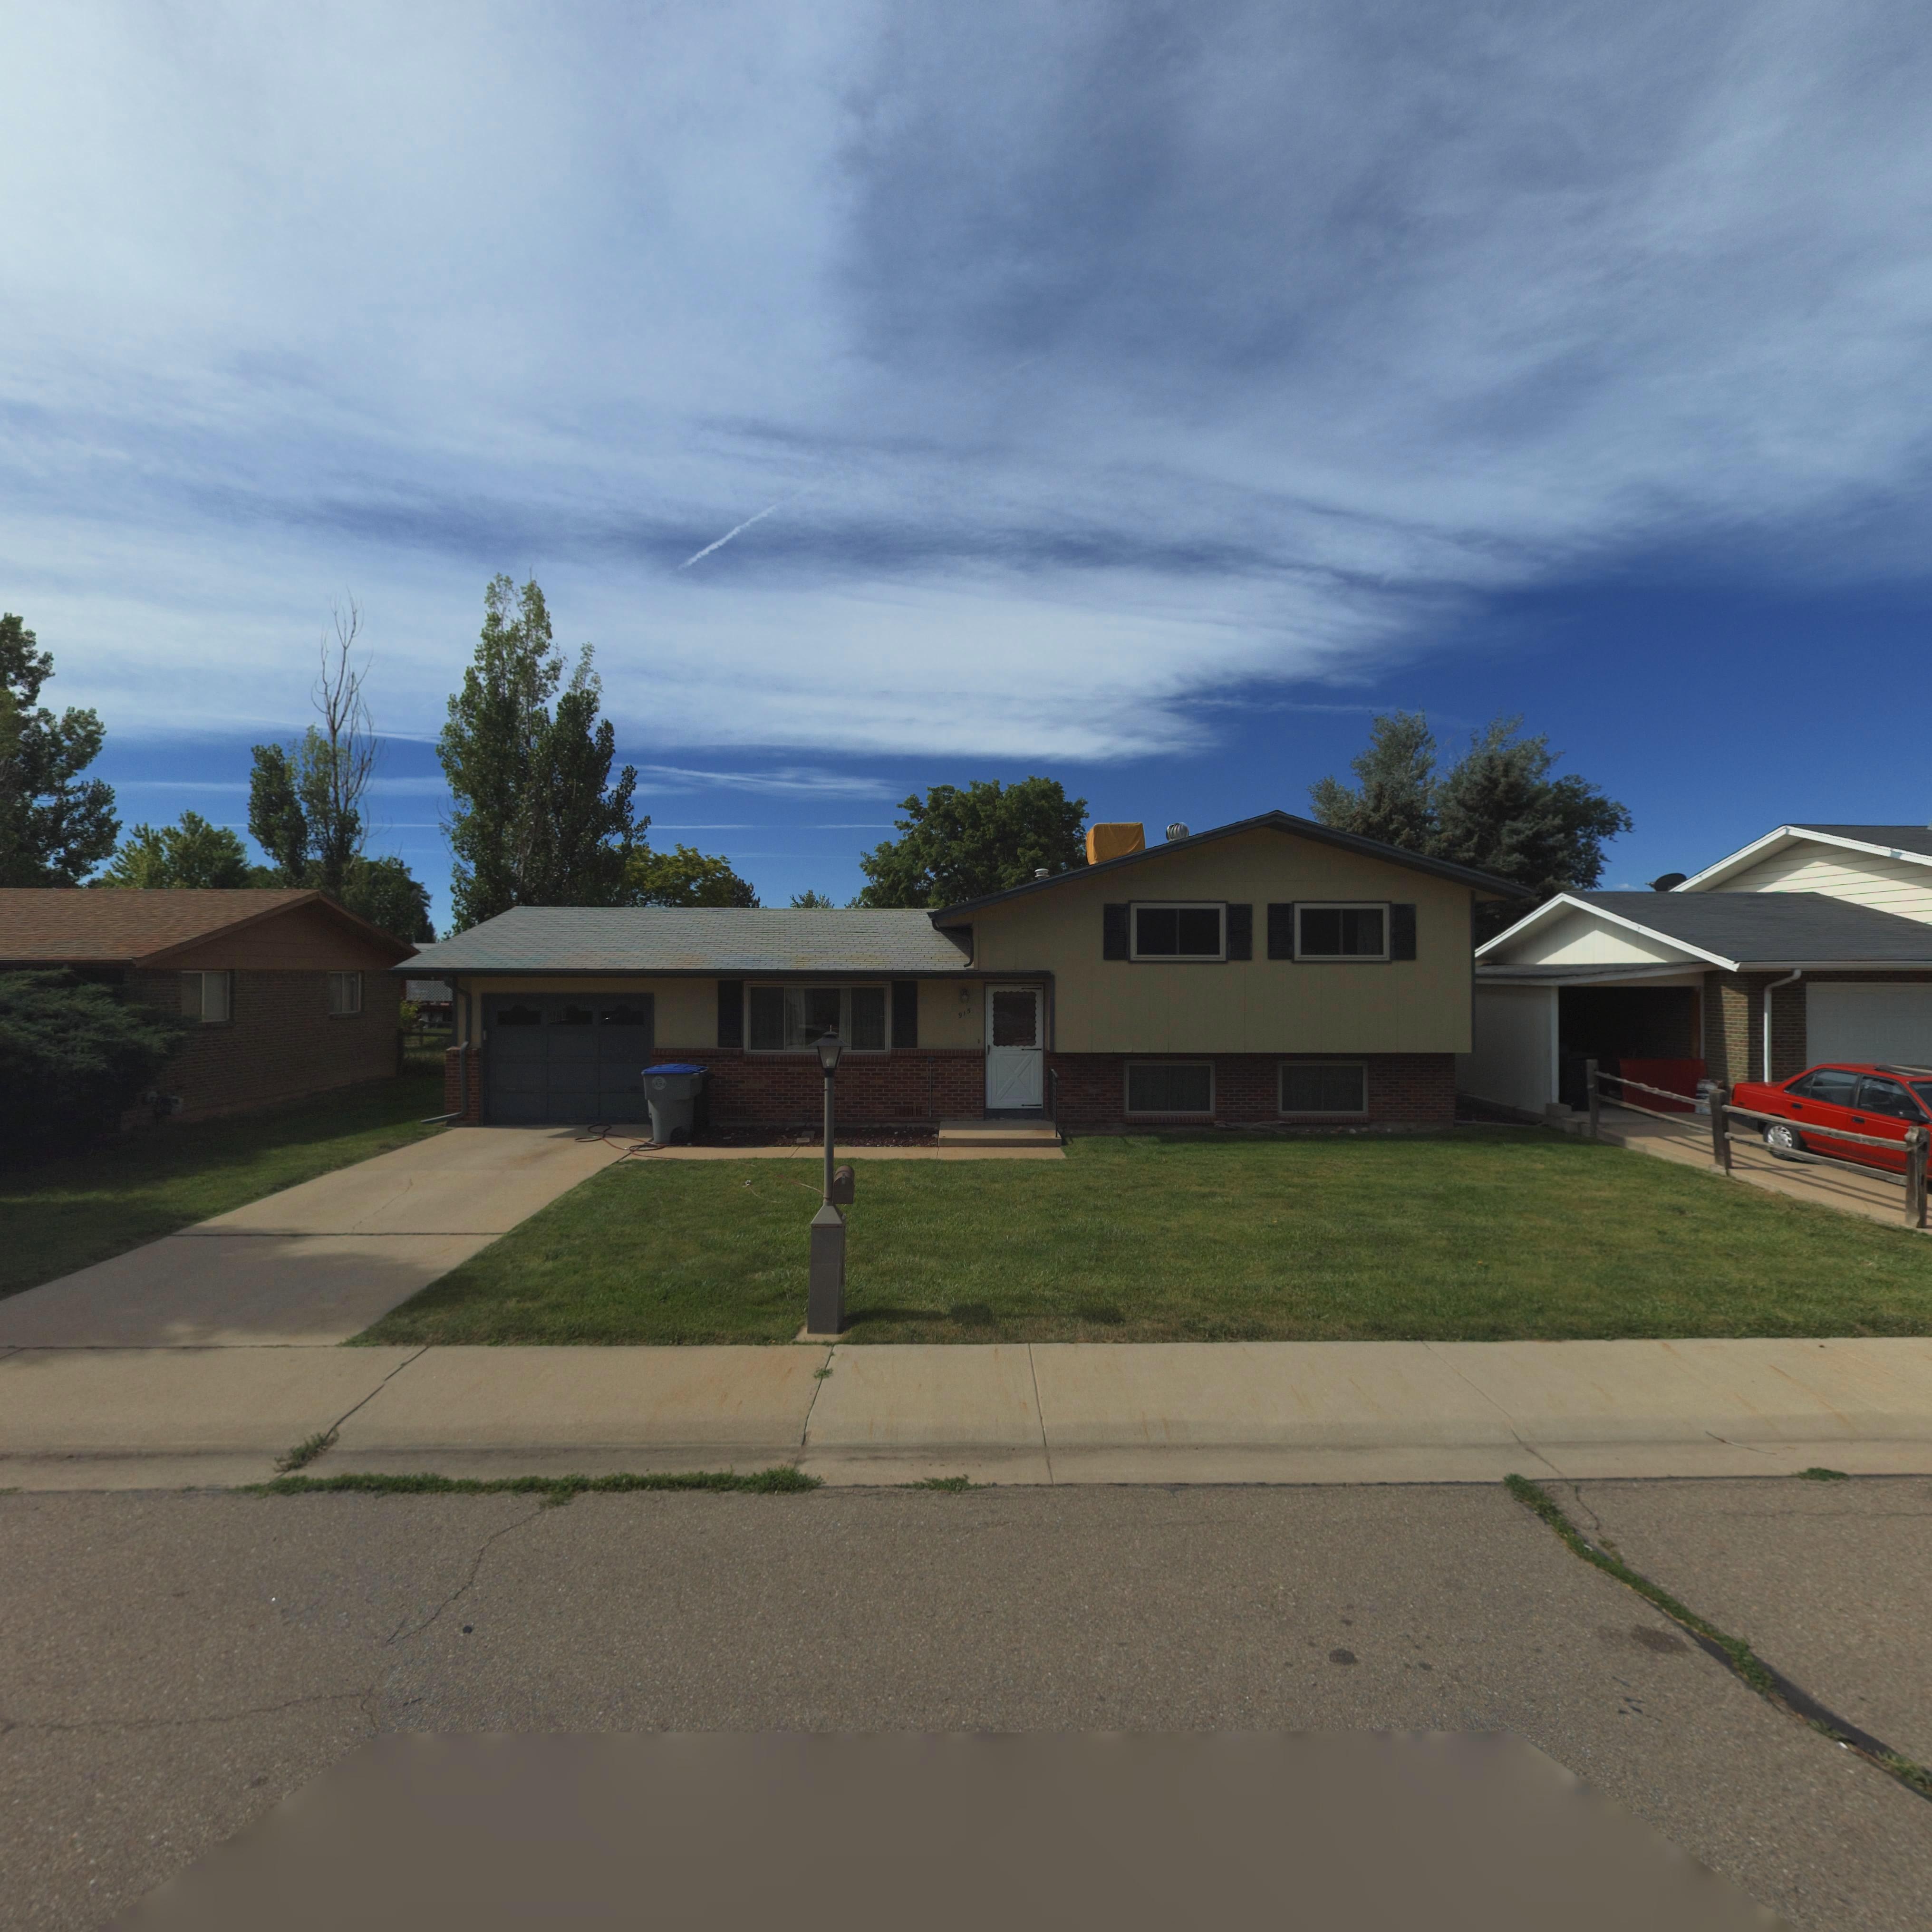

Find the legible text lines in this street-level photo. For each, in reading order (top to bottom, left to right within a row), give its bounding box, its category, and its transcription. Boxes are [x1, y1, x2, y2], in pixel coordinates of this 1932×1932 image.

[957, 1006, 971, 1019] StreetNumber: 913